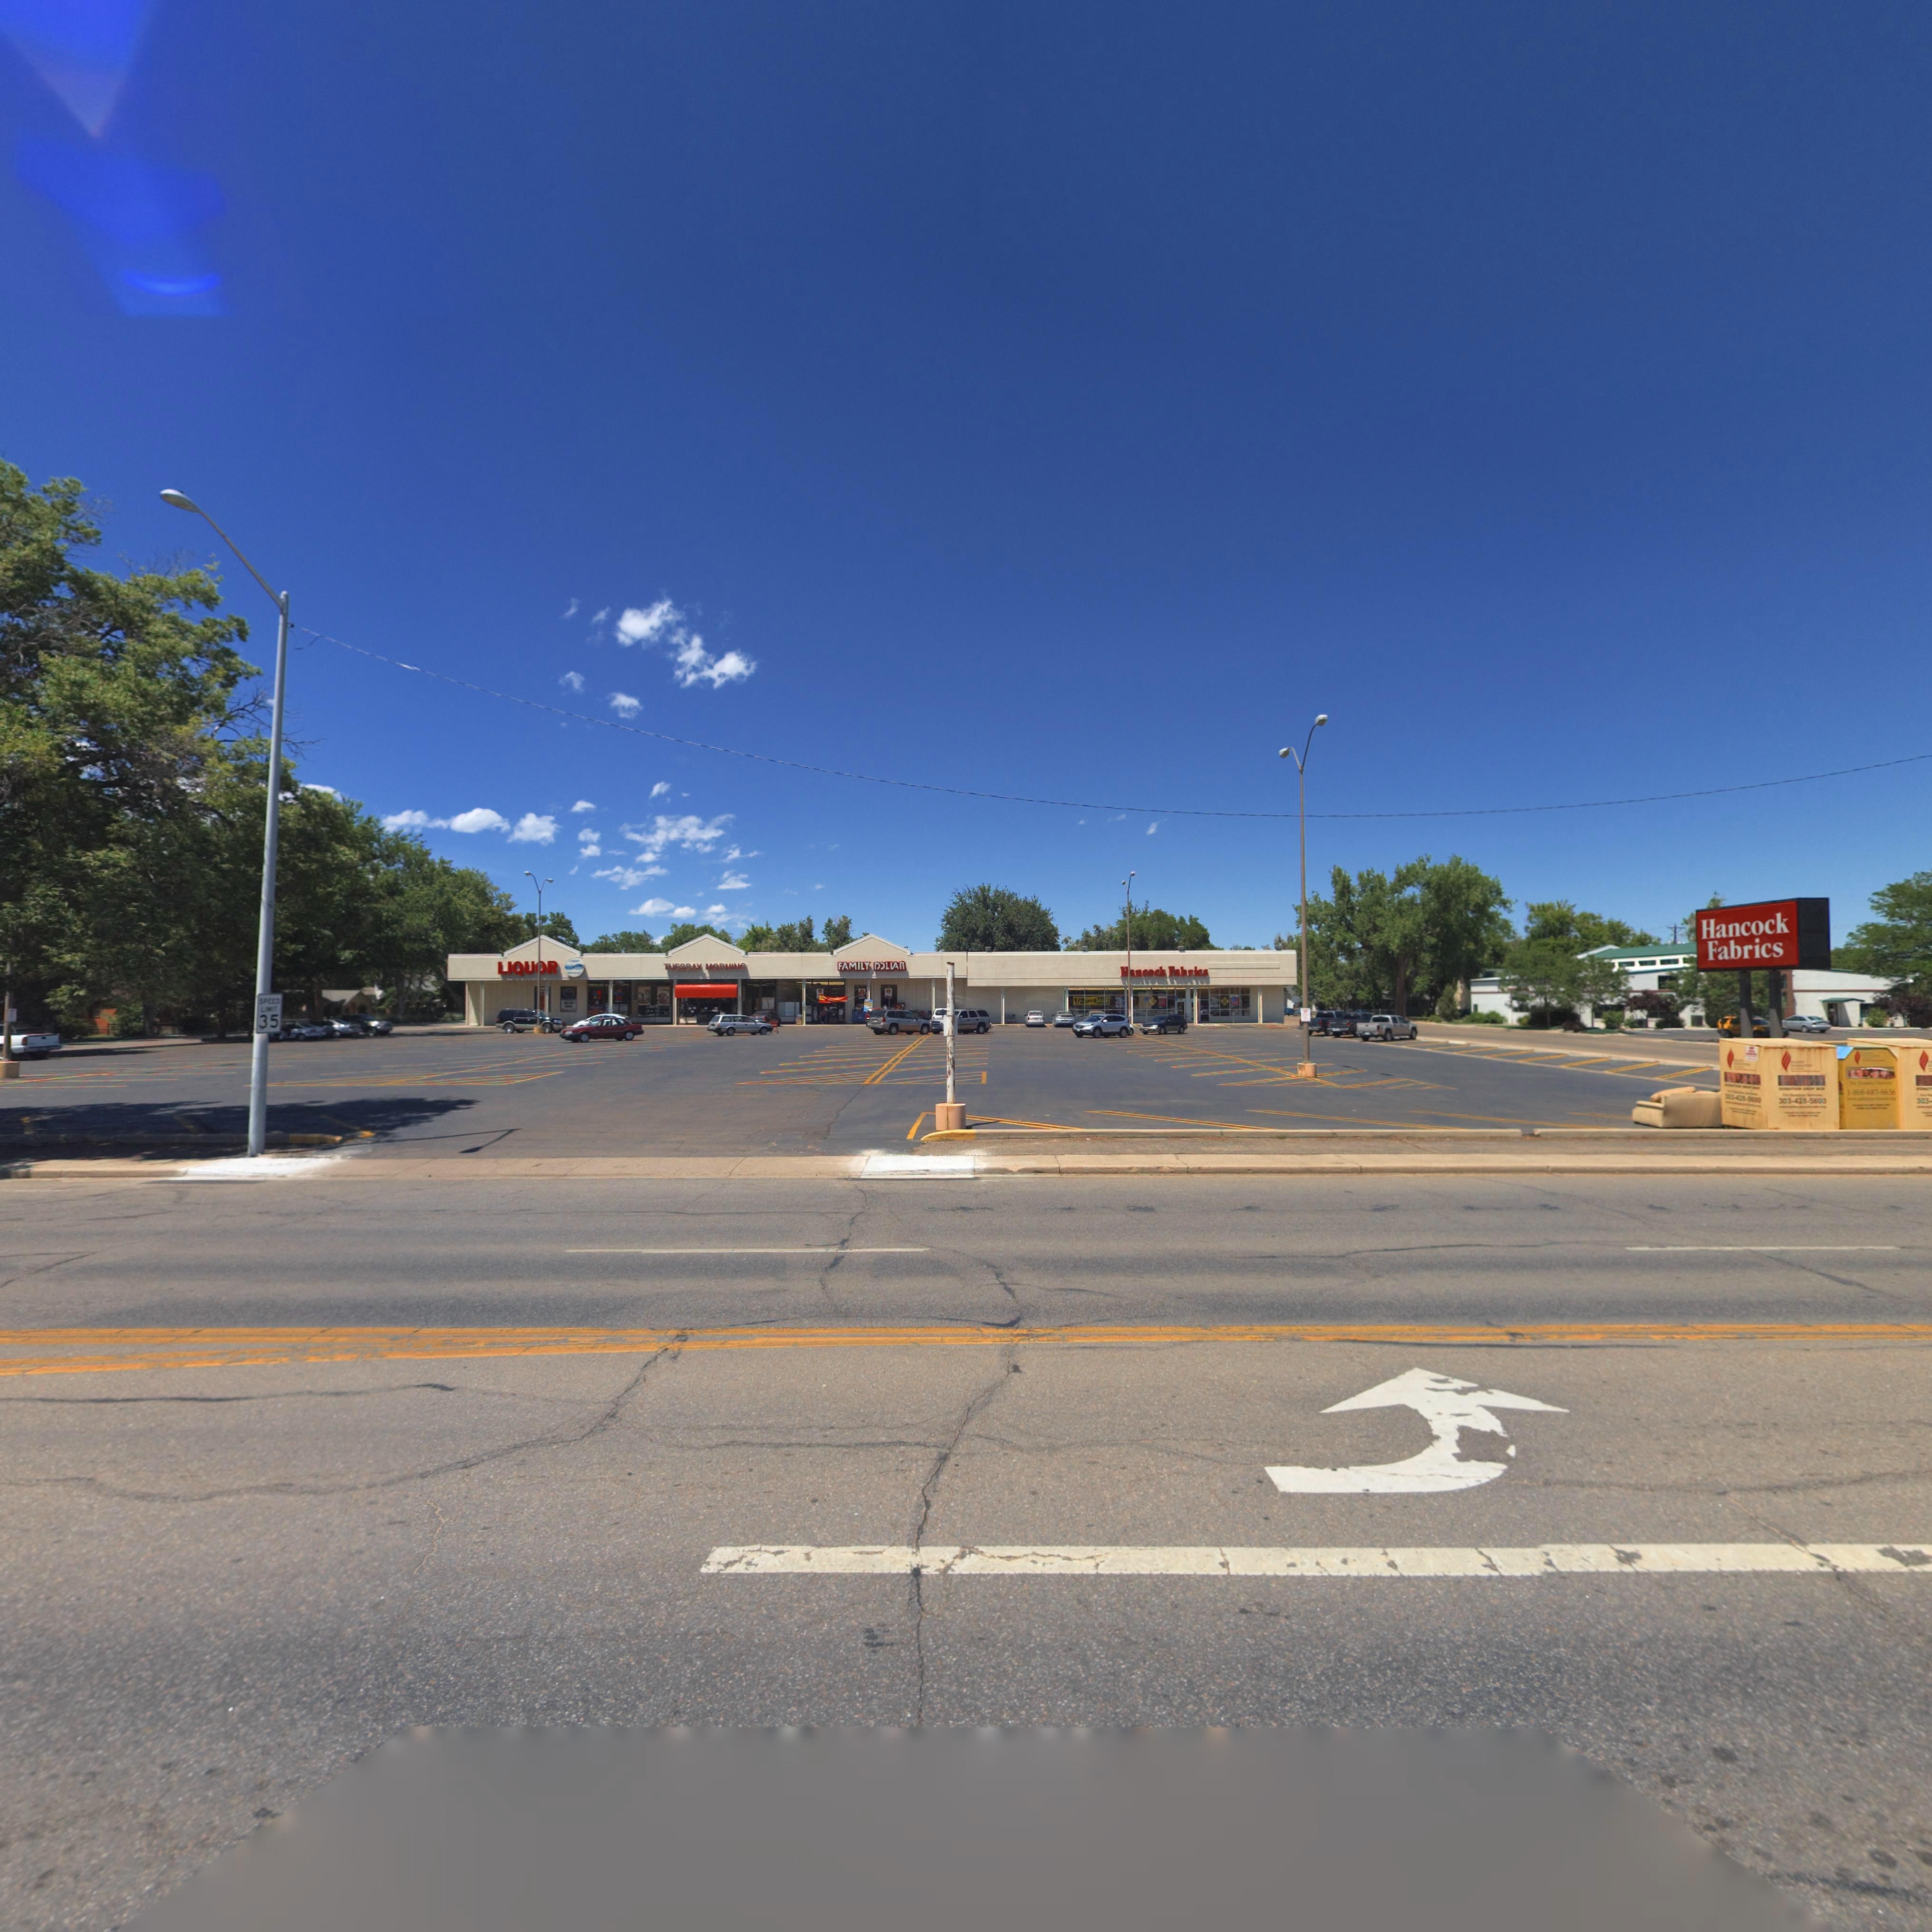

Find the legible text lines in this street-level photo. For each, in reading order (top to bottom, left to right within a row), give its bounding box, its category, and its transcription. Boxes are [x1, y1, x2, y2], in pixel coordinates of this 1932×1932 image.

[1700, 910, 1790, 940] BusinessName: Hancock
[1706, 937, 1784, 961] BusinessName: Fabrics
[663, 962, 746, 971] BusinessName: TUESDAY MORNING
[837, 961, 905, 971] BusinessName: FAMILY DOLLAR
[1119, 966, 1209, 977] BusinessName: Hancock Fabrics